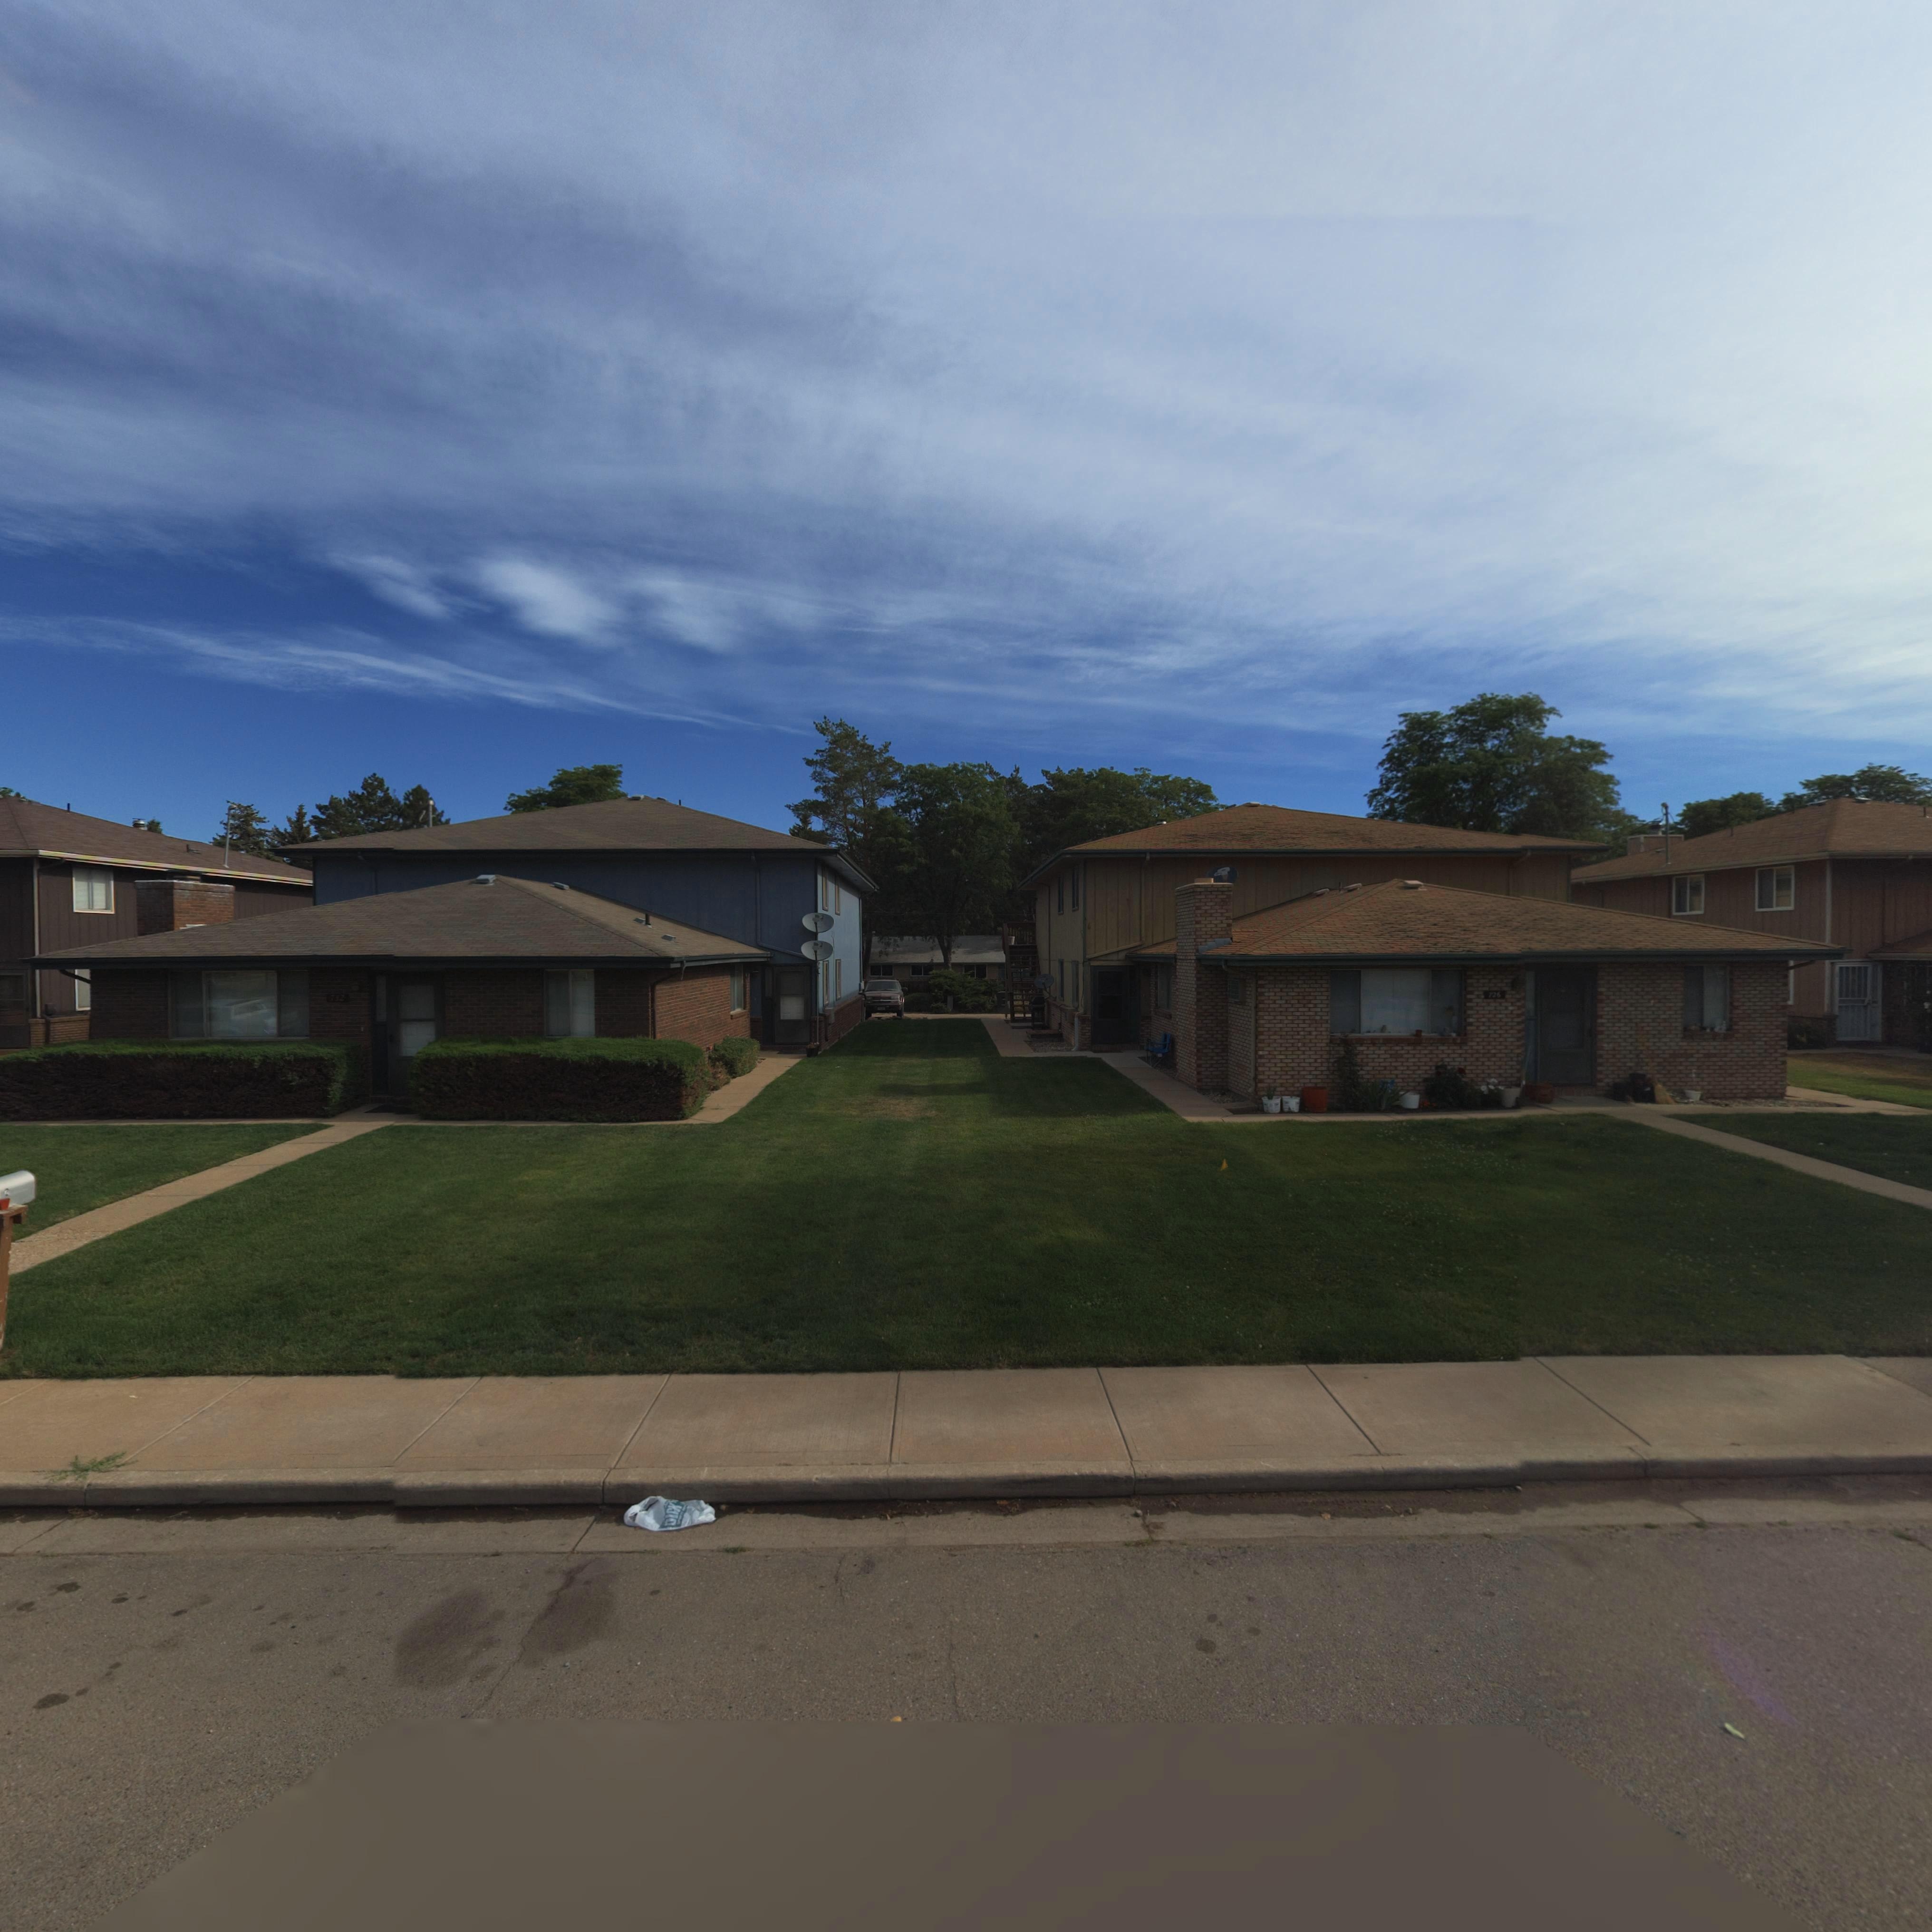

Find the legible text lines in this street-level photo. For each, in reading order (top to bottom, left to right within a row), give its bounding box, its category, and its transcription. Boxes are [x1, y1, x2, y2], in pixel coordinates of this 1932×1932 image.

[327, 993, 346, 1004] StreetNumber: 732
[1488, 991, 1500, 998] StreetNumber: 726